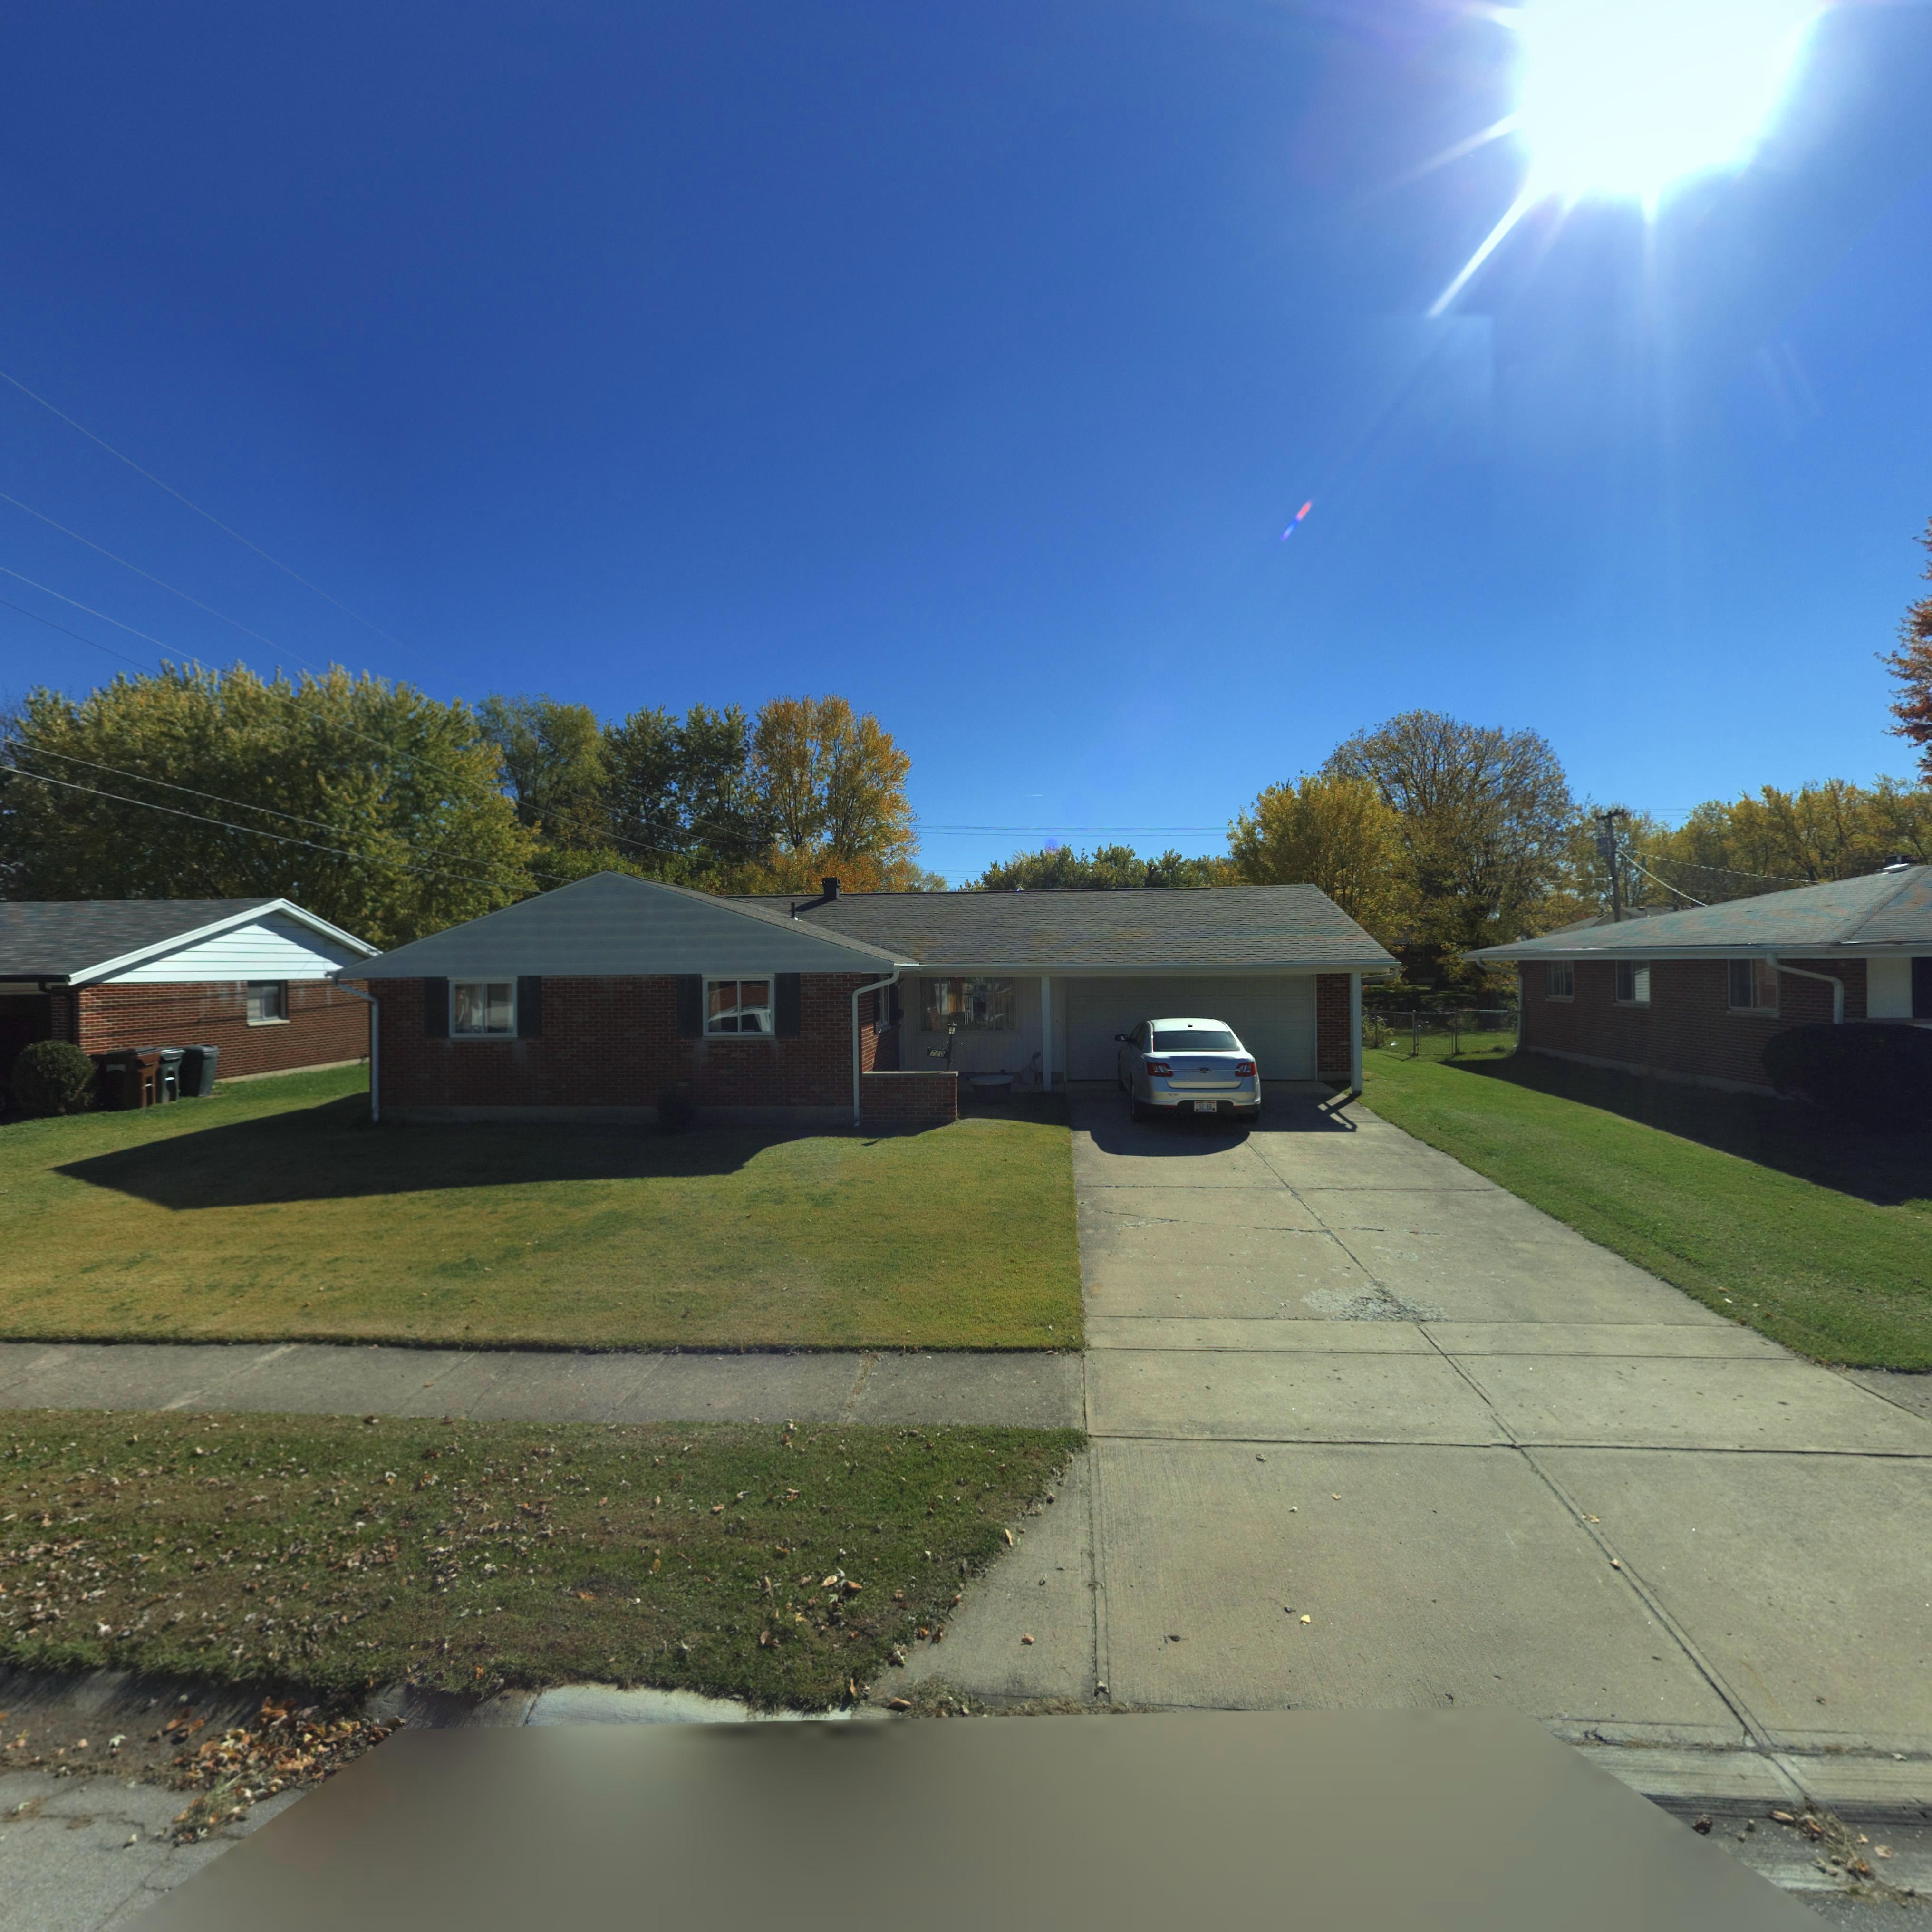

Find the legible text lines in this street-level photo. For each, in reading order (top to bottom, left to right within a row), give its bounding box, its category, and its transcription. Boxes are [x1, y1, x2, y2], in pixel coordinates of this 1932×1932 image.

[930, 1050, 945, 1057] StreetNumber: 720